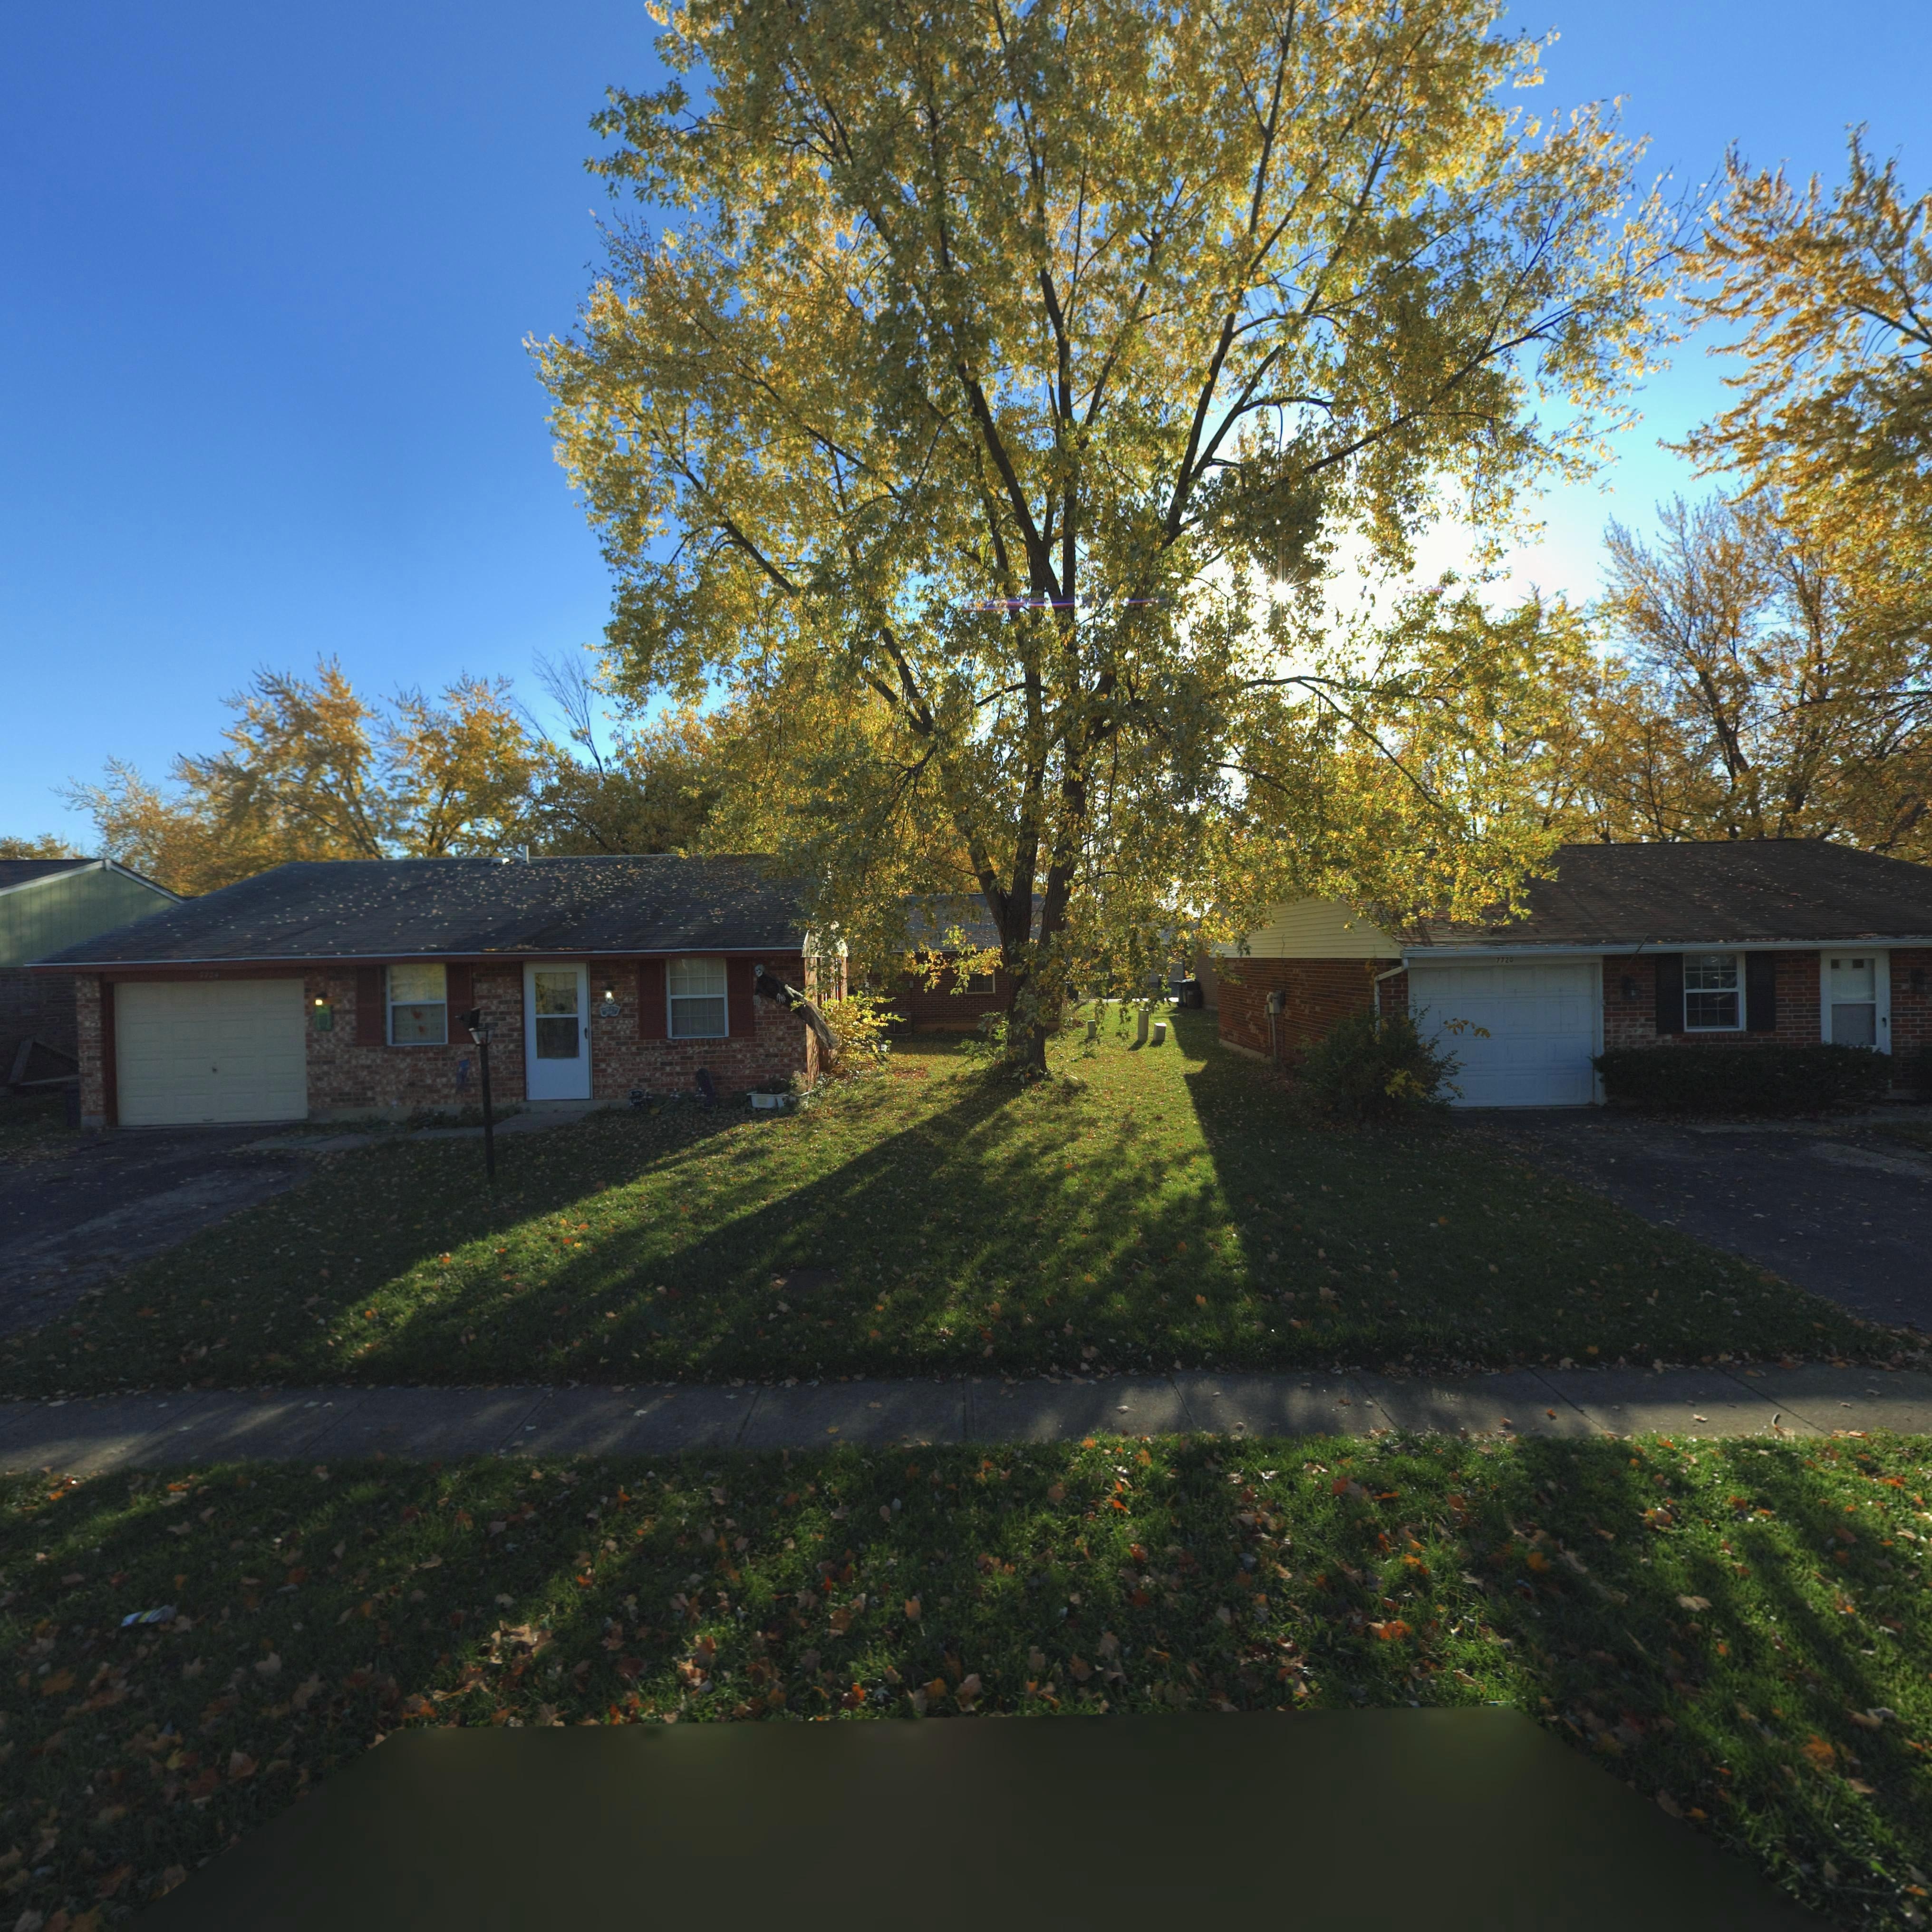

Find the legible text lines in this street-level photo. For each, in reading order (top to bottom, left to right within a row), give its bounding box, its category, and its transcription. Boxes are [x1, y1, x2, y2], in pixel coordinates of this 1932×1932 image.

[1495, 956, 1514, 965] StreetNumber: 7720